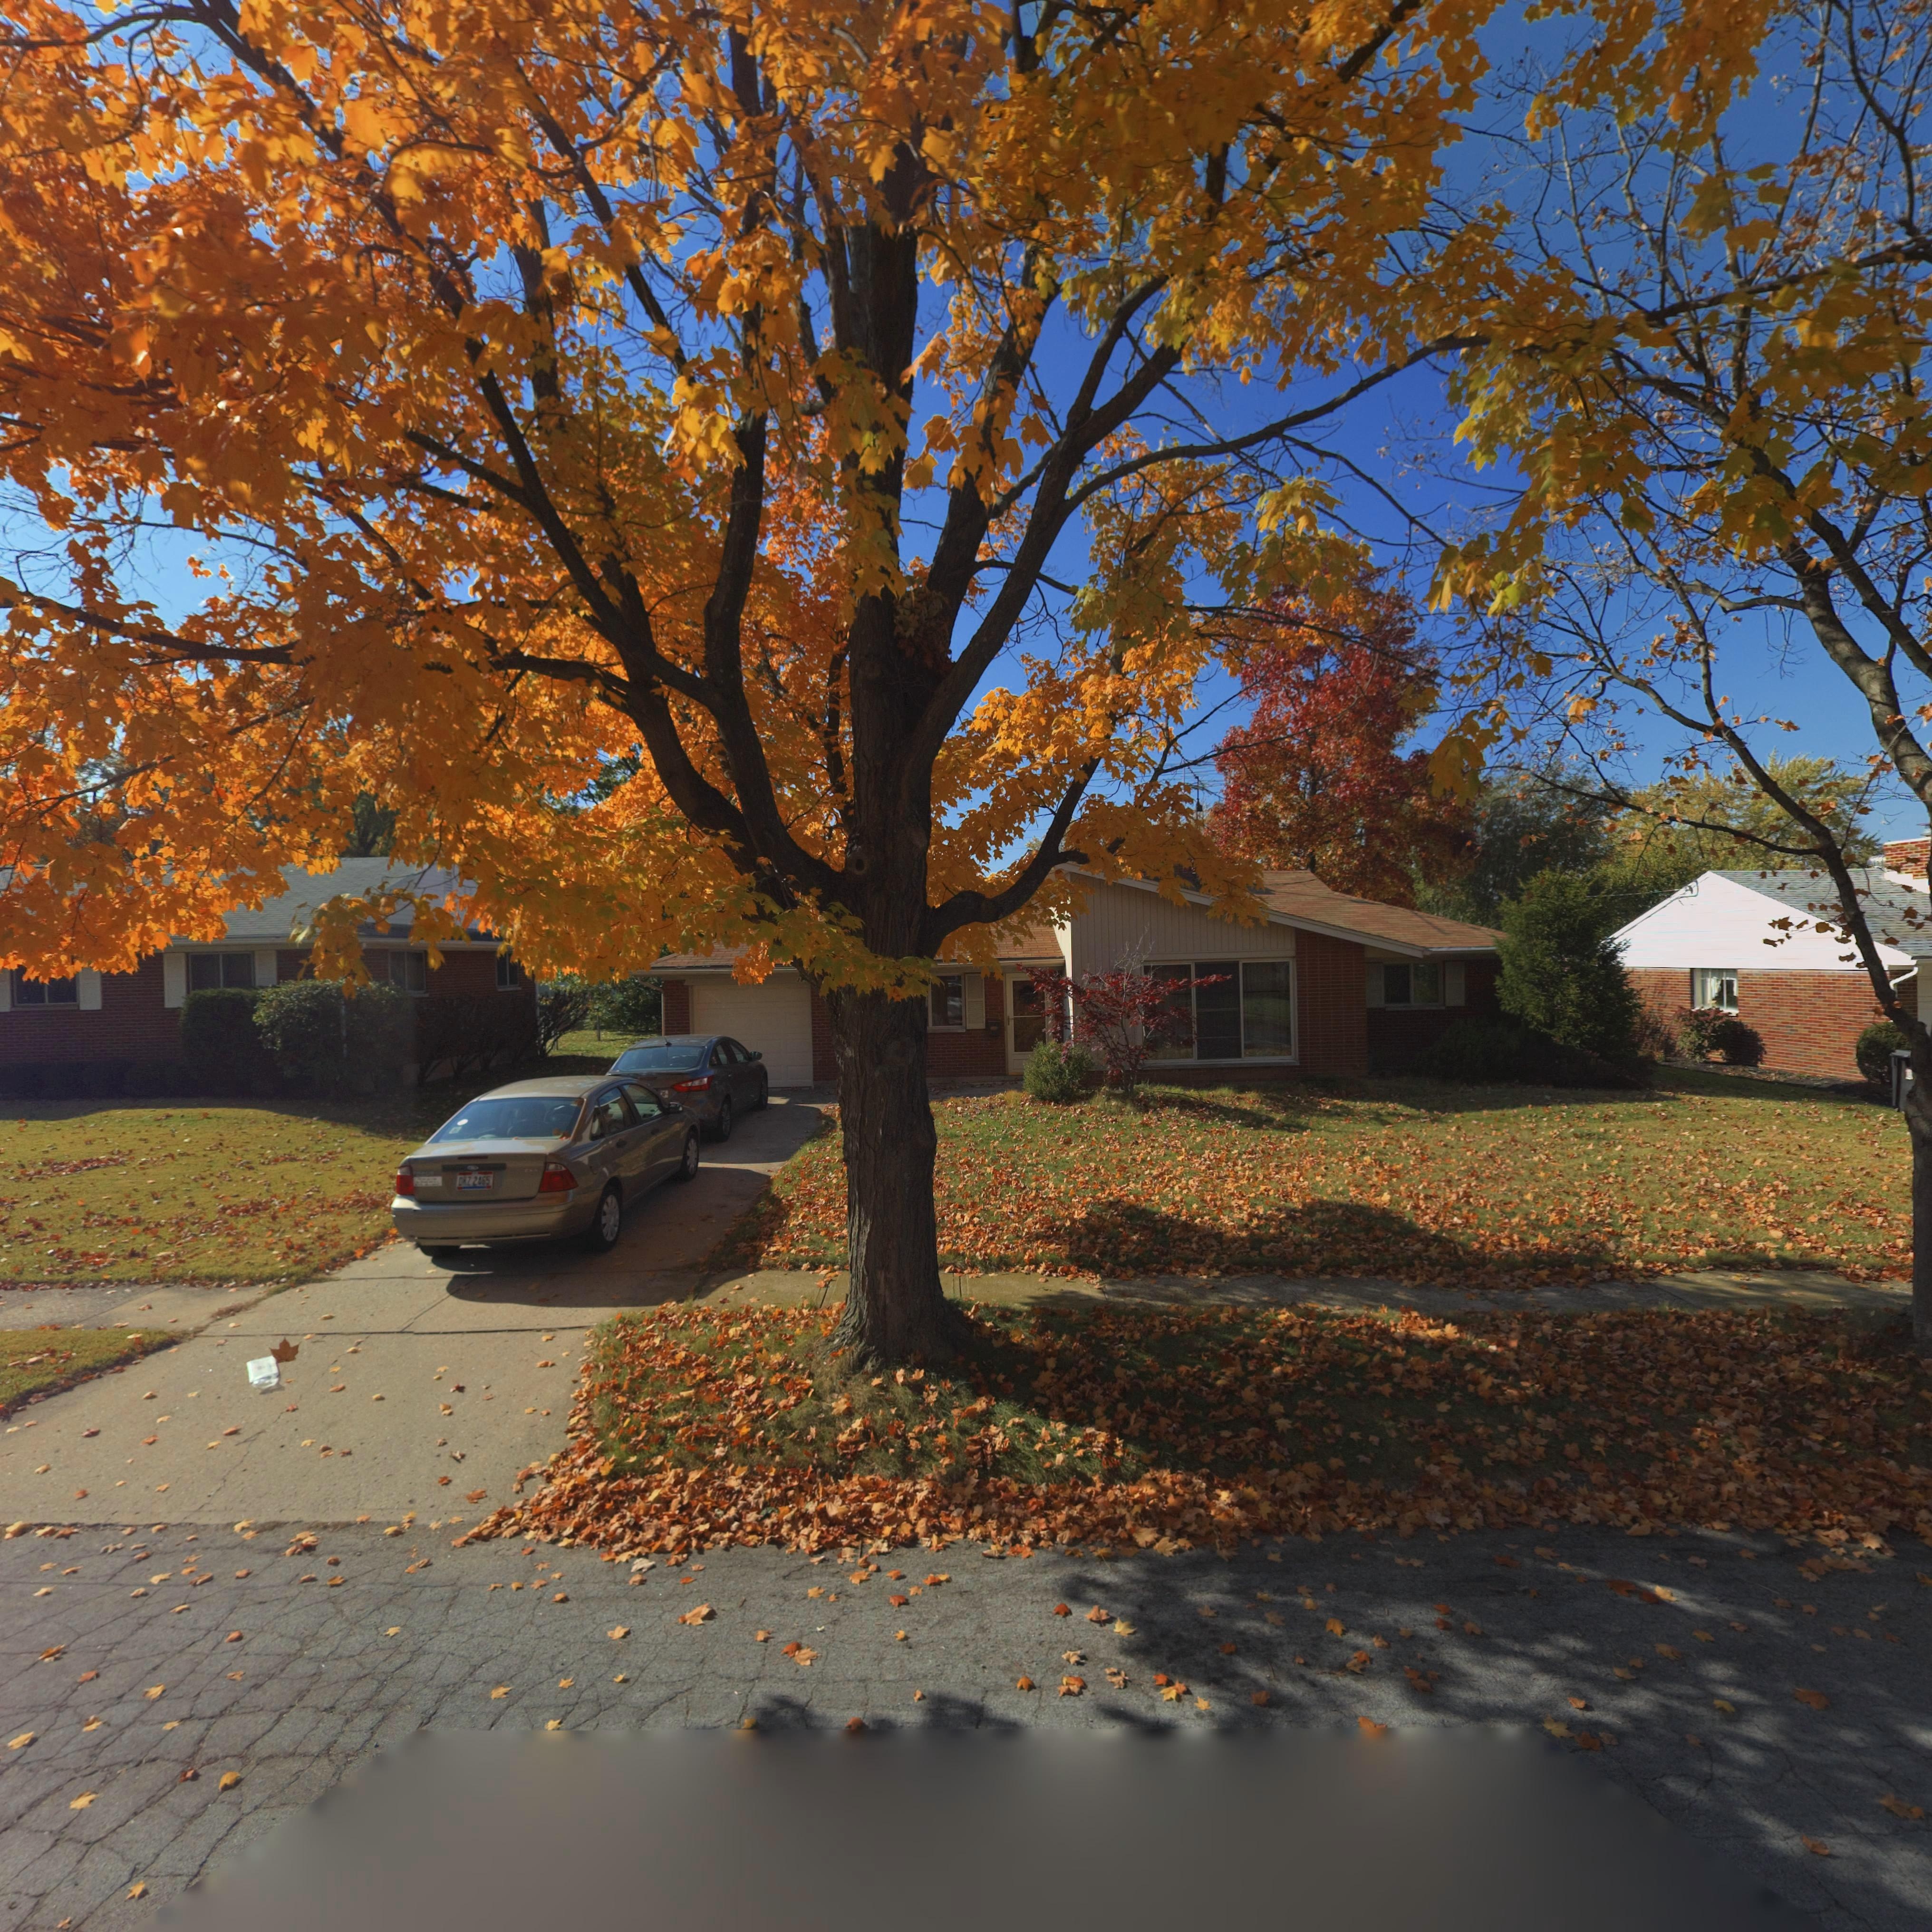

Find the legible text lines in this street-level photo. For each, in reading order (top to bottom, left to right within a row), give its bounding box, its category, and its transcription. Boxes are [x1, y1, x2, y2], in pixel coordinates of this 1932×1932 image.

[457, 1175, 492, 1188] None: DKZ 2465